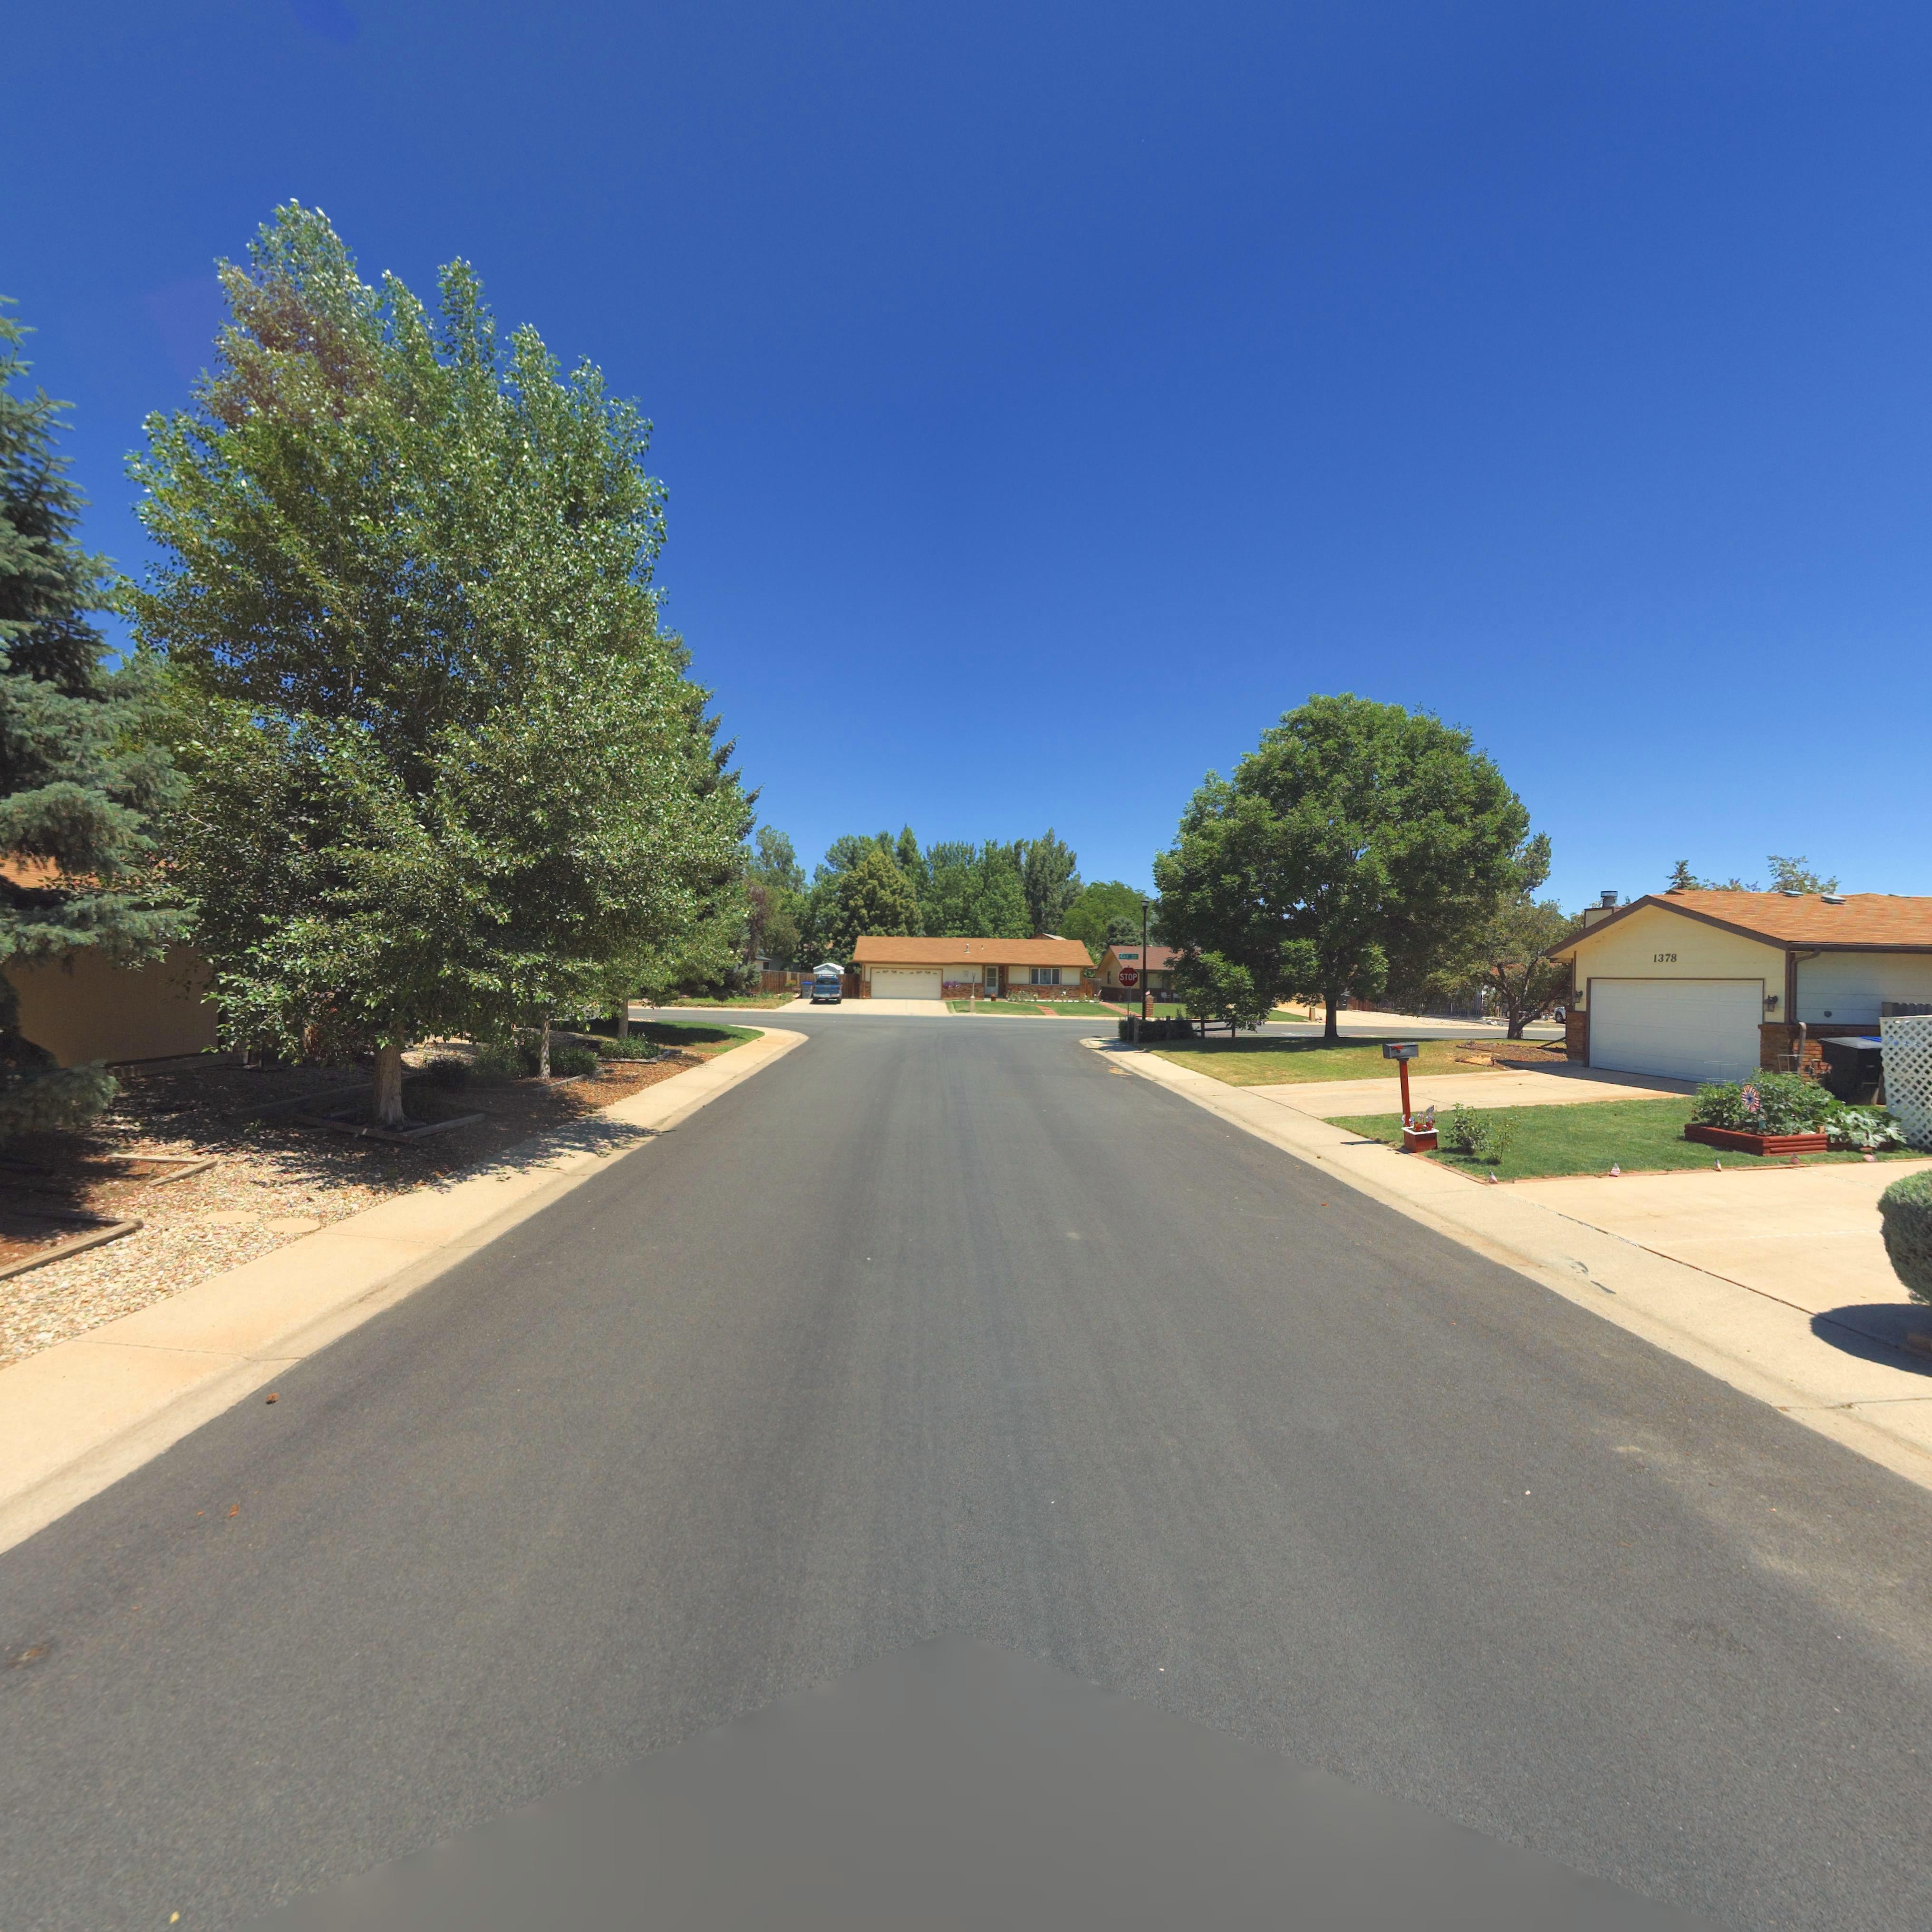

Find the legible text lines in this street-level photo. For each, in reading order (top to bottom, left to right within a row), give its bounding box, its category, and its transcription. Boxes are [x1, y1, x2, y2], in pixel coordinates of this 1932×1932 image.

[1120, 954, 1137, 958] StreetName: GAY ST
[1653, 953, 1677, 963] StreetNumber: 1378